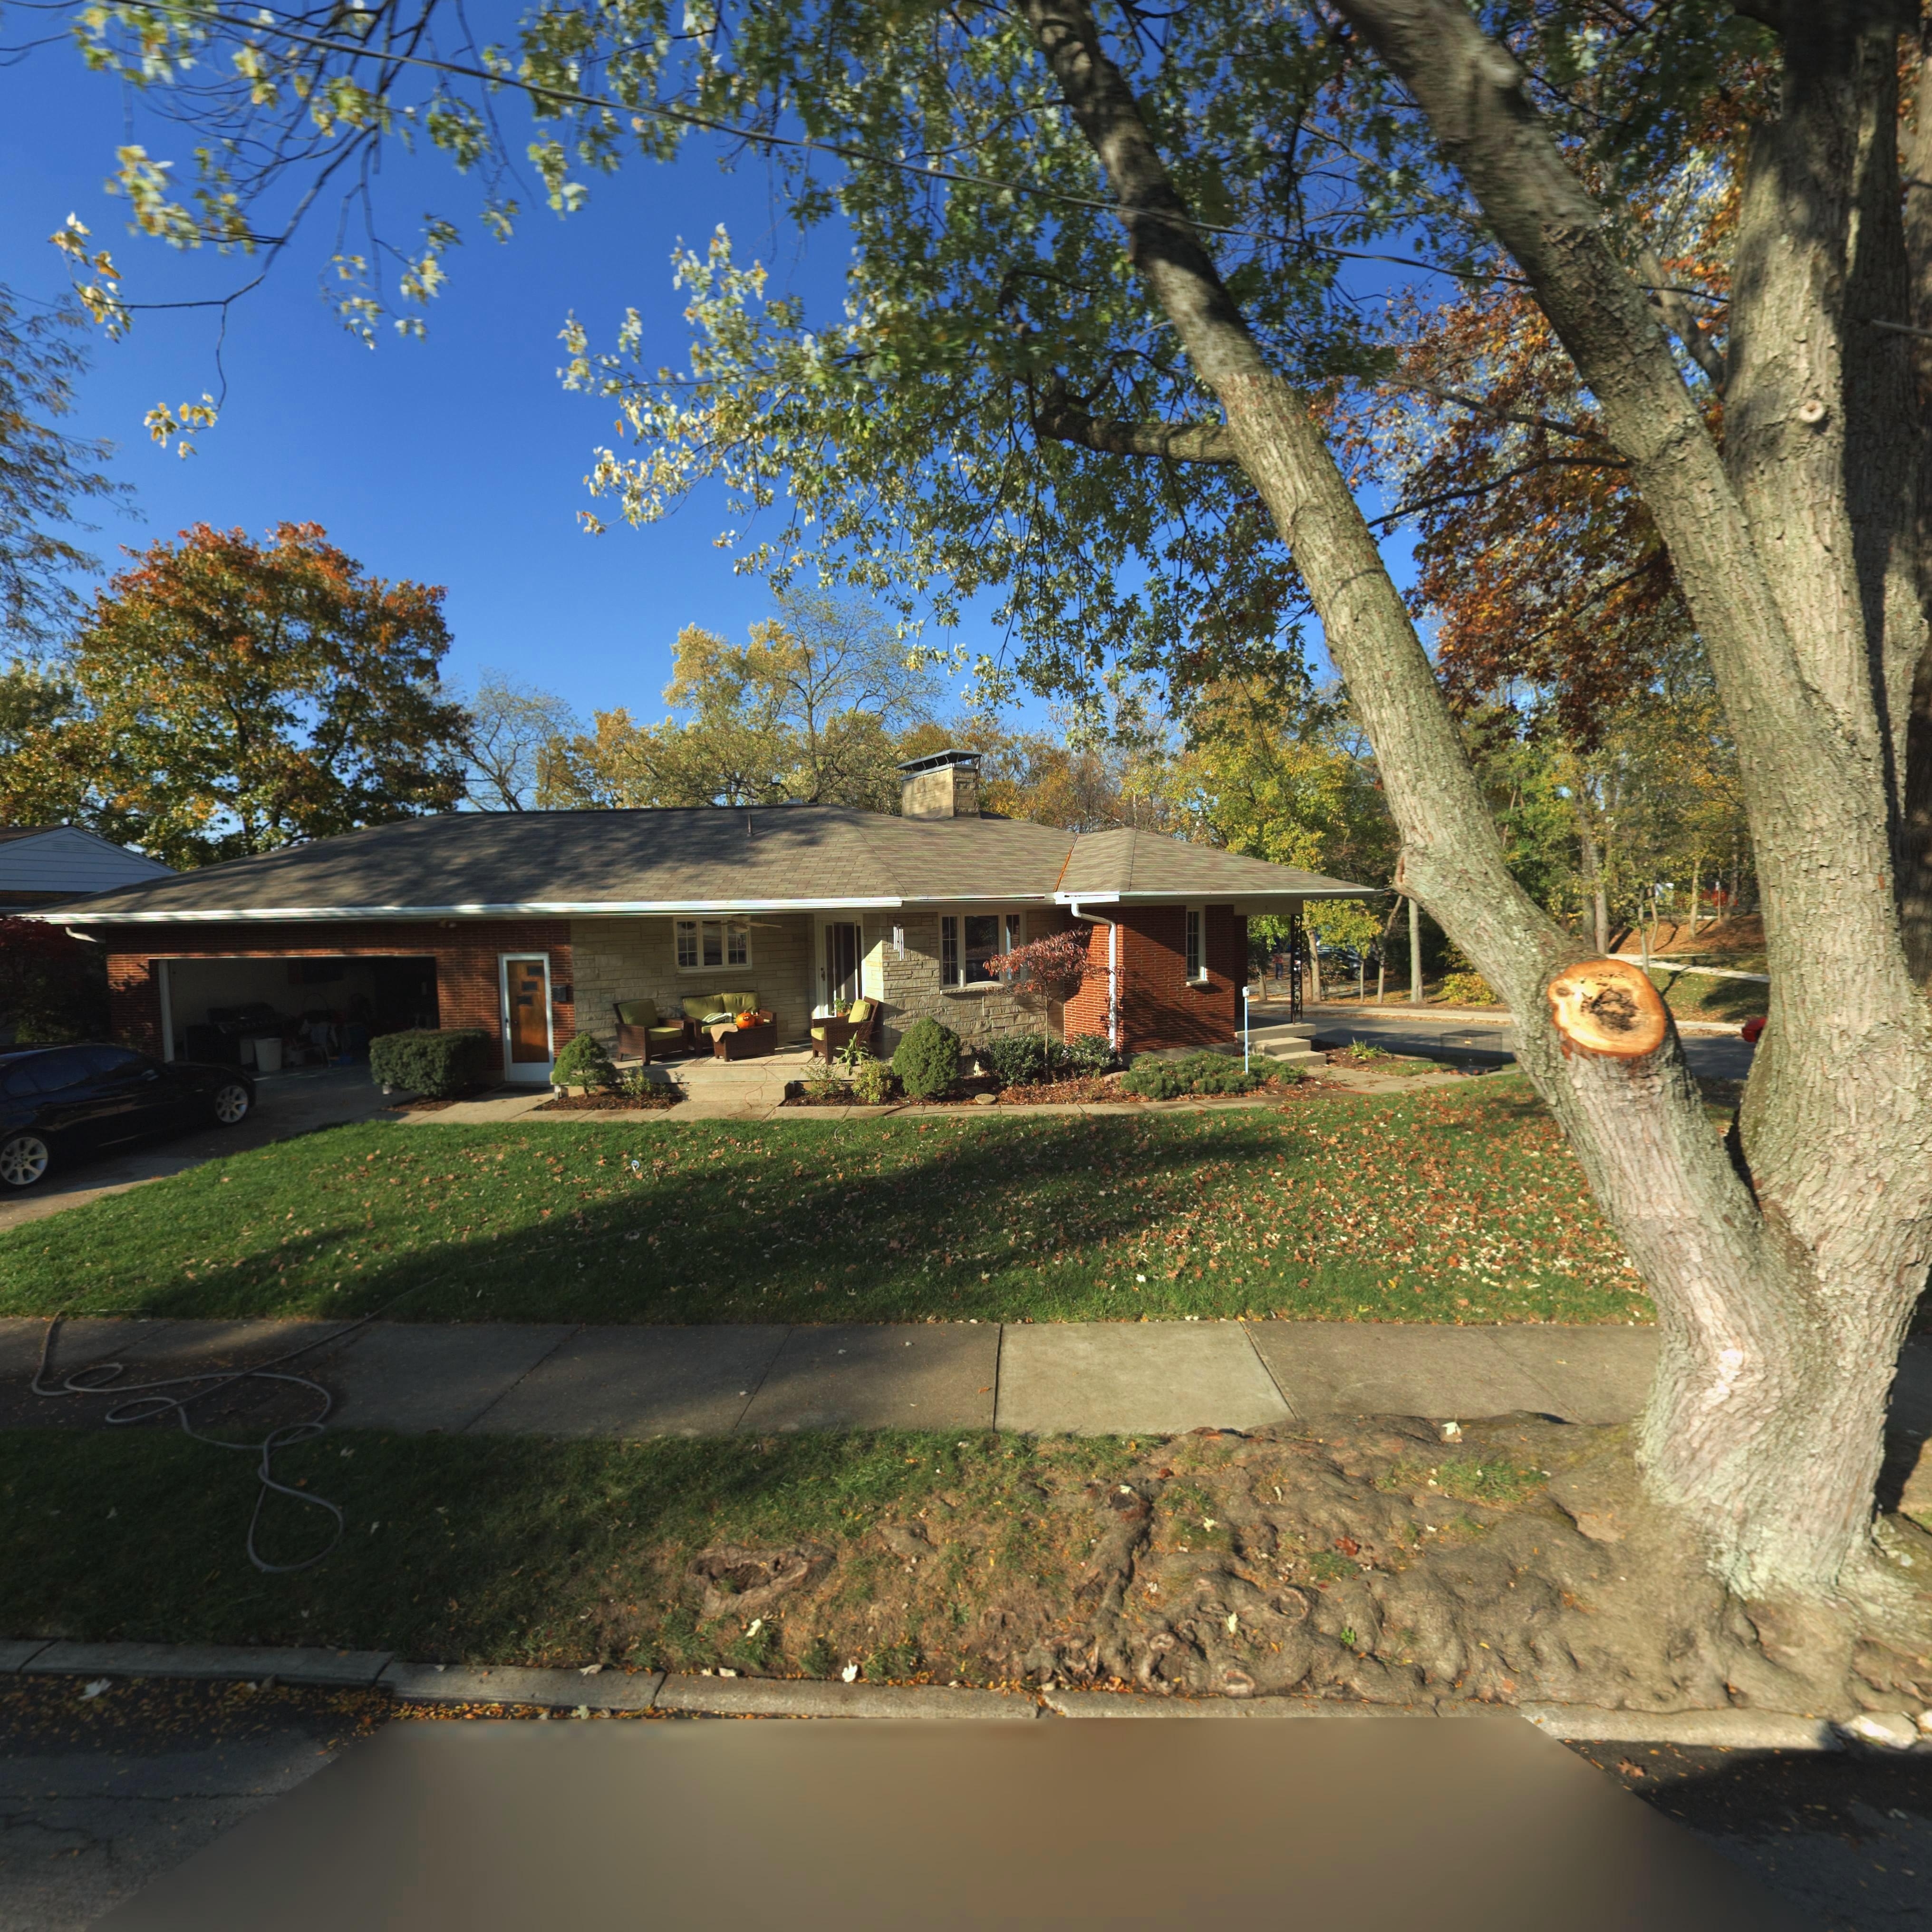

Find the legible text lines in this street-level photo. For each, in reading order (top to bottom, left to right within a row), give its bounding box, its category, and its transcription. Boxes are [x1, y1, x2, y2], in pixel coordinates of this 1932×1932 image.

[1265, 905, 1269, 910] StreetNumber: 5